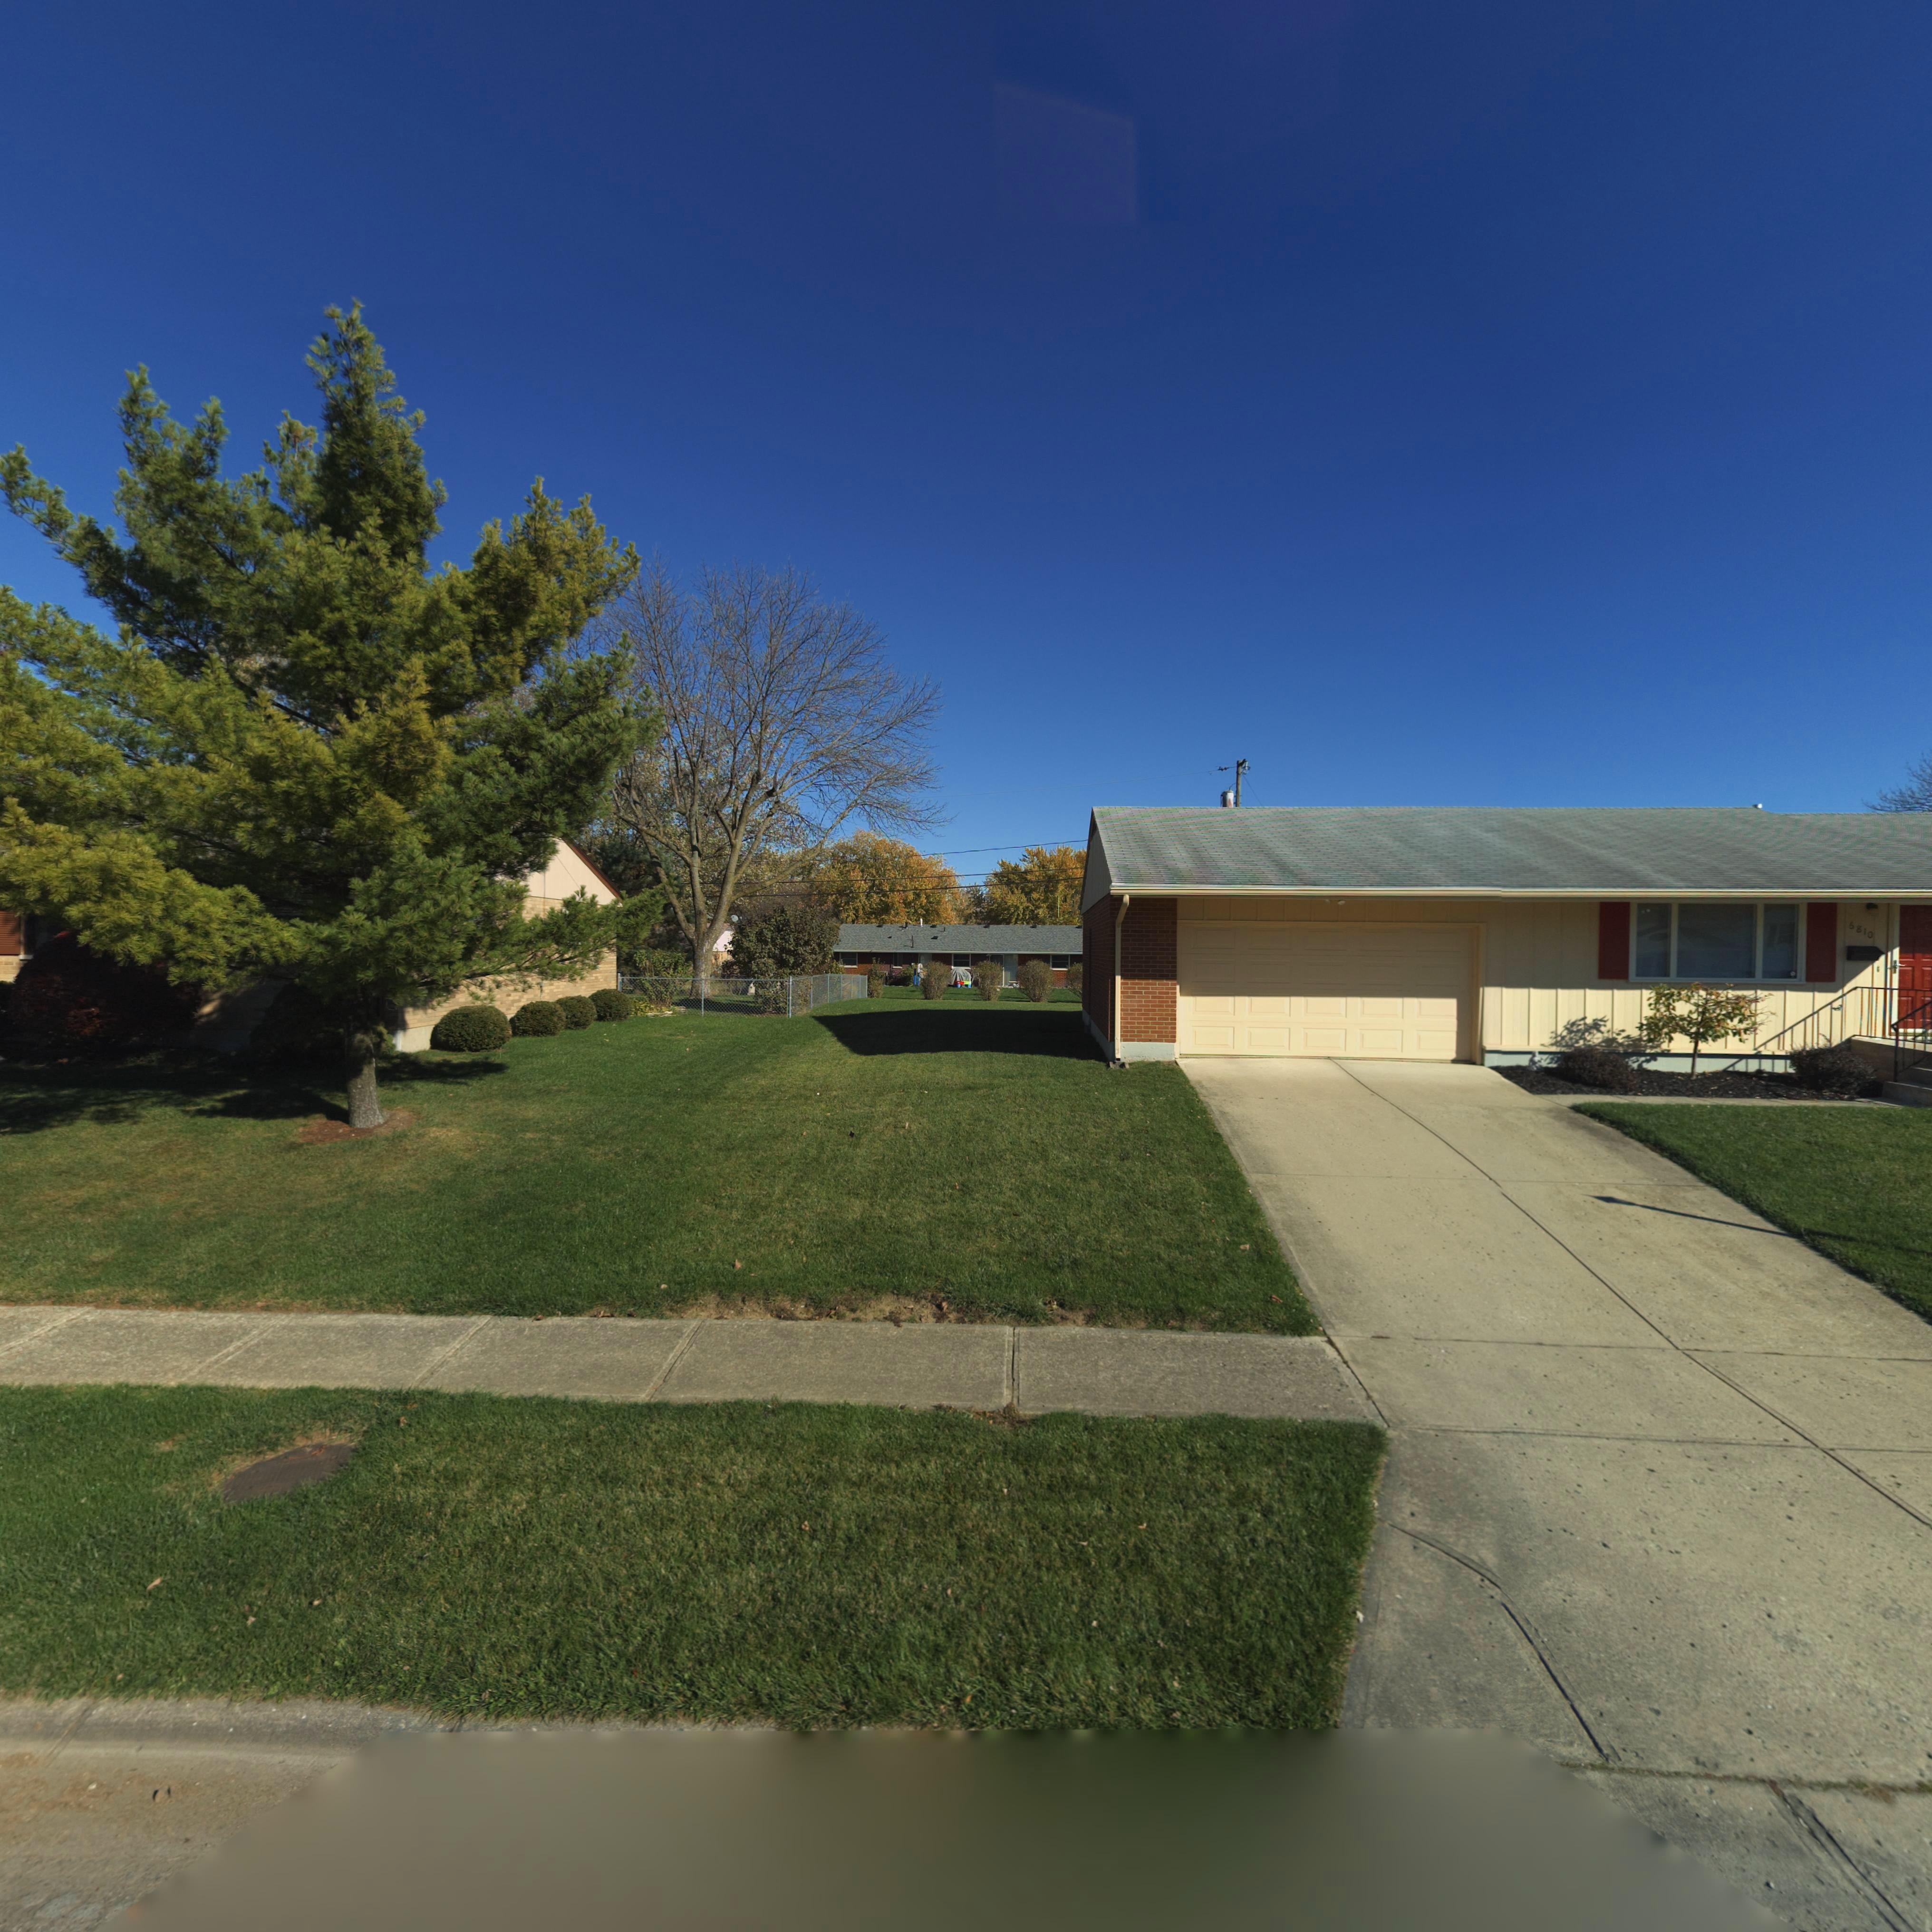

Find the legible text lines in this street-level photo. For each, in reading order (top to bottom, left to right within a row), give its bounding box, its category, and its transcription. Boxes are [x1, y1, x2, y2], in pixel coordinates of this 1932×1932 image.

[1848, 921, 1874, 939] StreetNumber: 6810